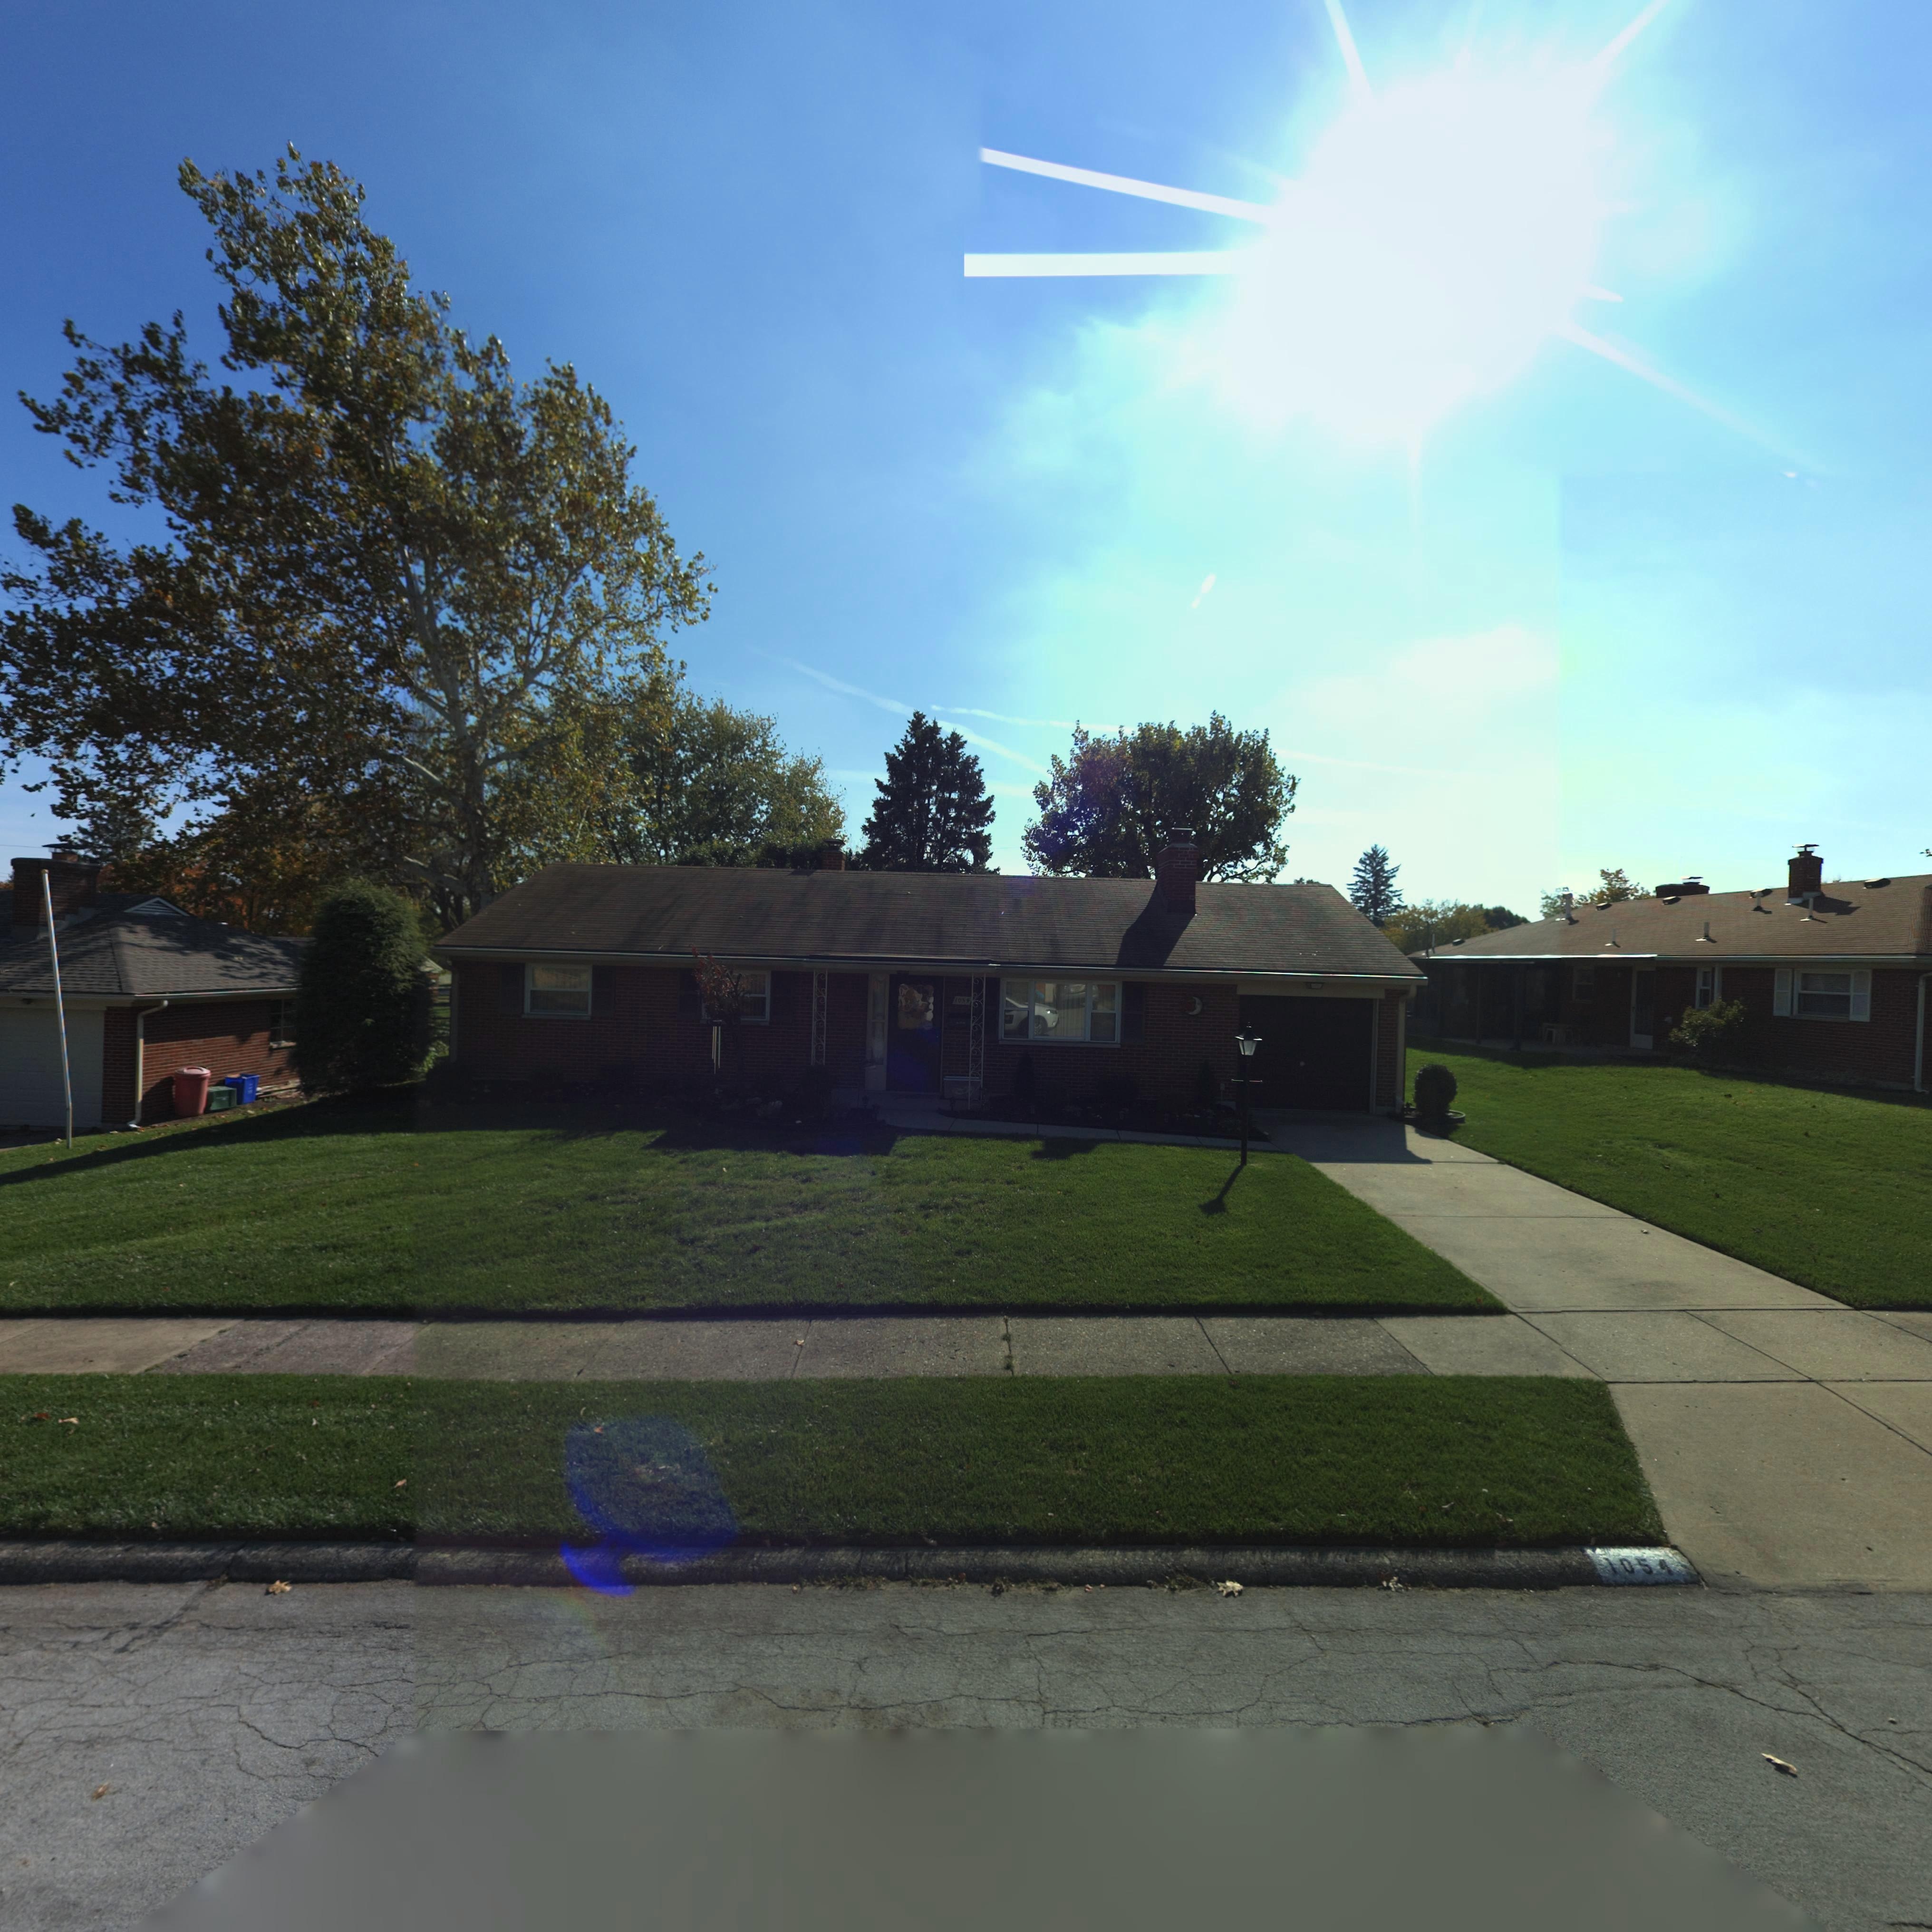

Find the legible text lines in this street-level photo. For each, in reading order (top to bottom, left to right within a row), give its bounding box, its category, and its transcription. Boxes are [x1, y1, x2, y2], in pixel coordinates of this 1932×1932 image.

[954, 997, 970, 1003] StreetNumber: 1054